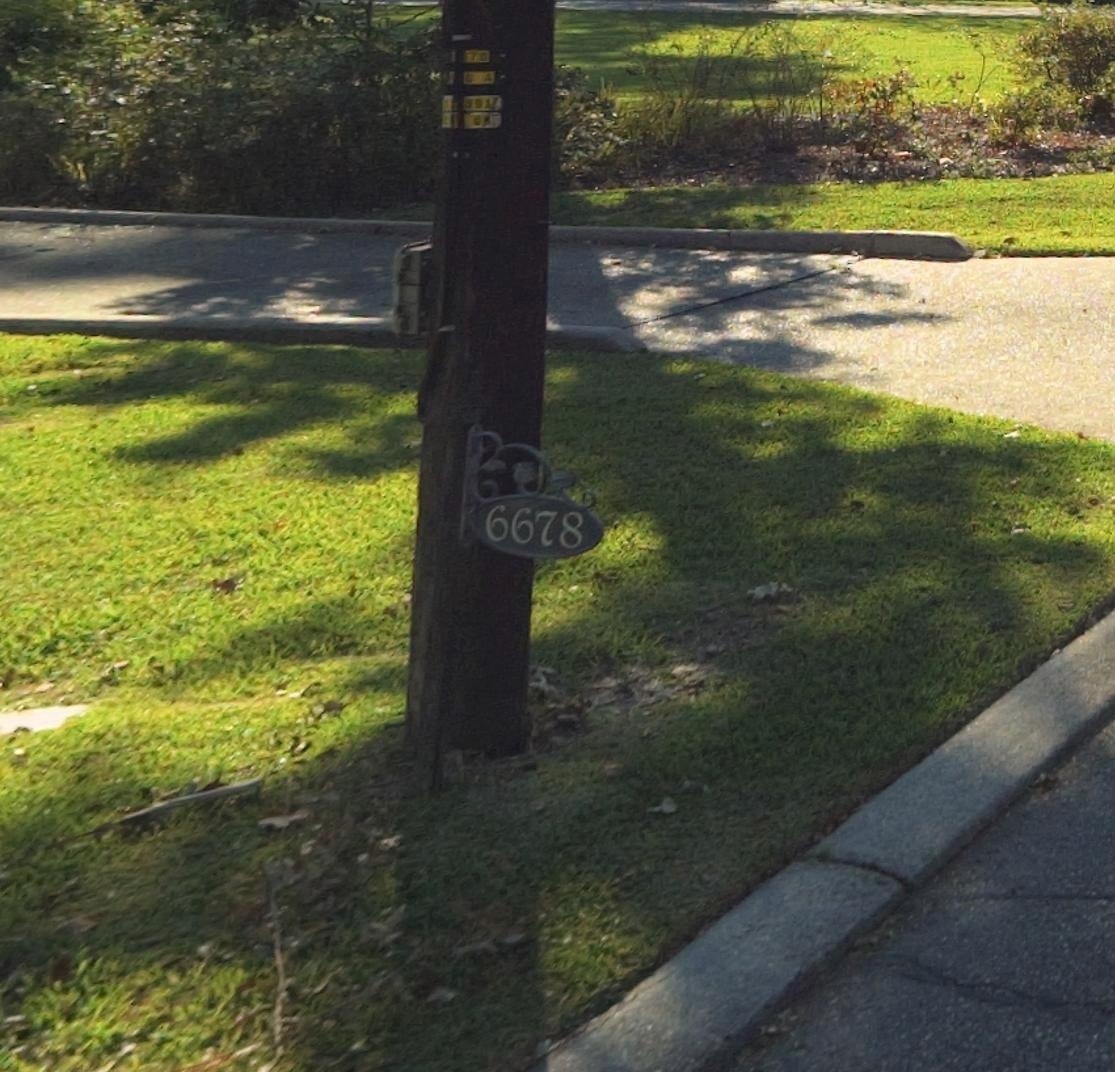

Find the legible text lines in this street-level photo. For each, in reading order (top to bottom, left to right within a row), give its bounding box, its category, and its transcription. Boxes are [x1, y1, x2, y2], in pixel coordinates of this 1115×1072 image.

[466, 50, 488, 63] None: 70
[482, 70, 494, 83] None: A
[473, 97, 494, 110] None: 9A
[483, 501, 586, 552] StreetNumber: 6678